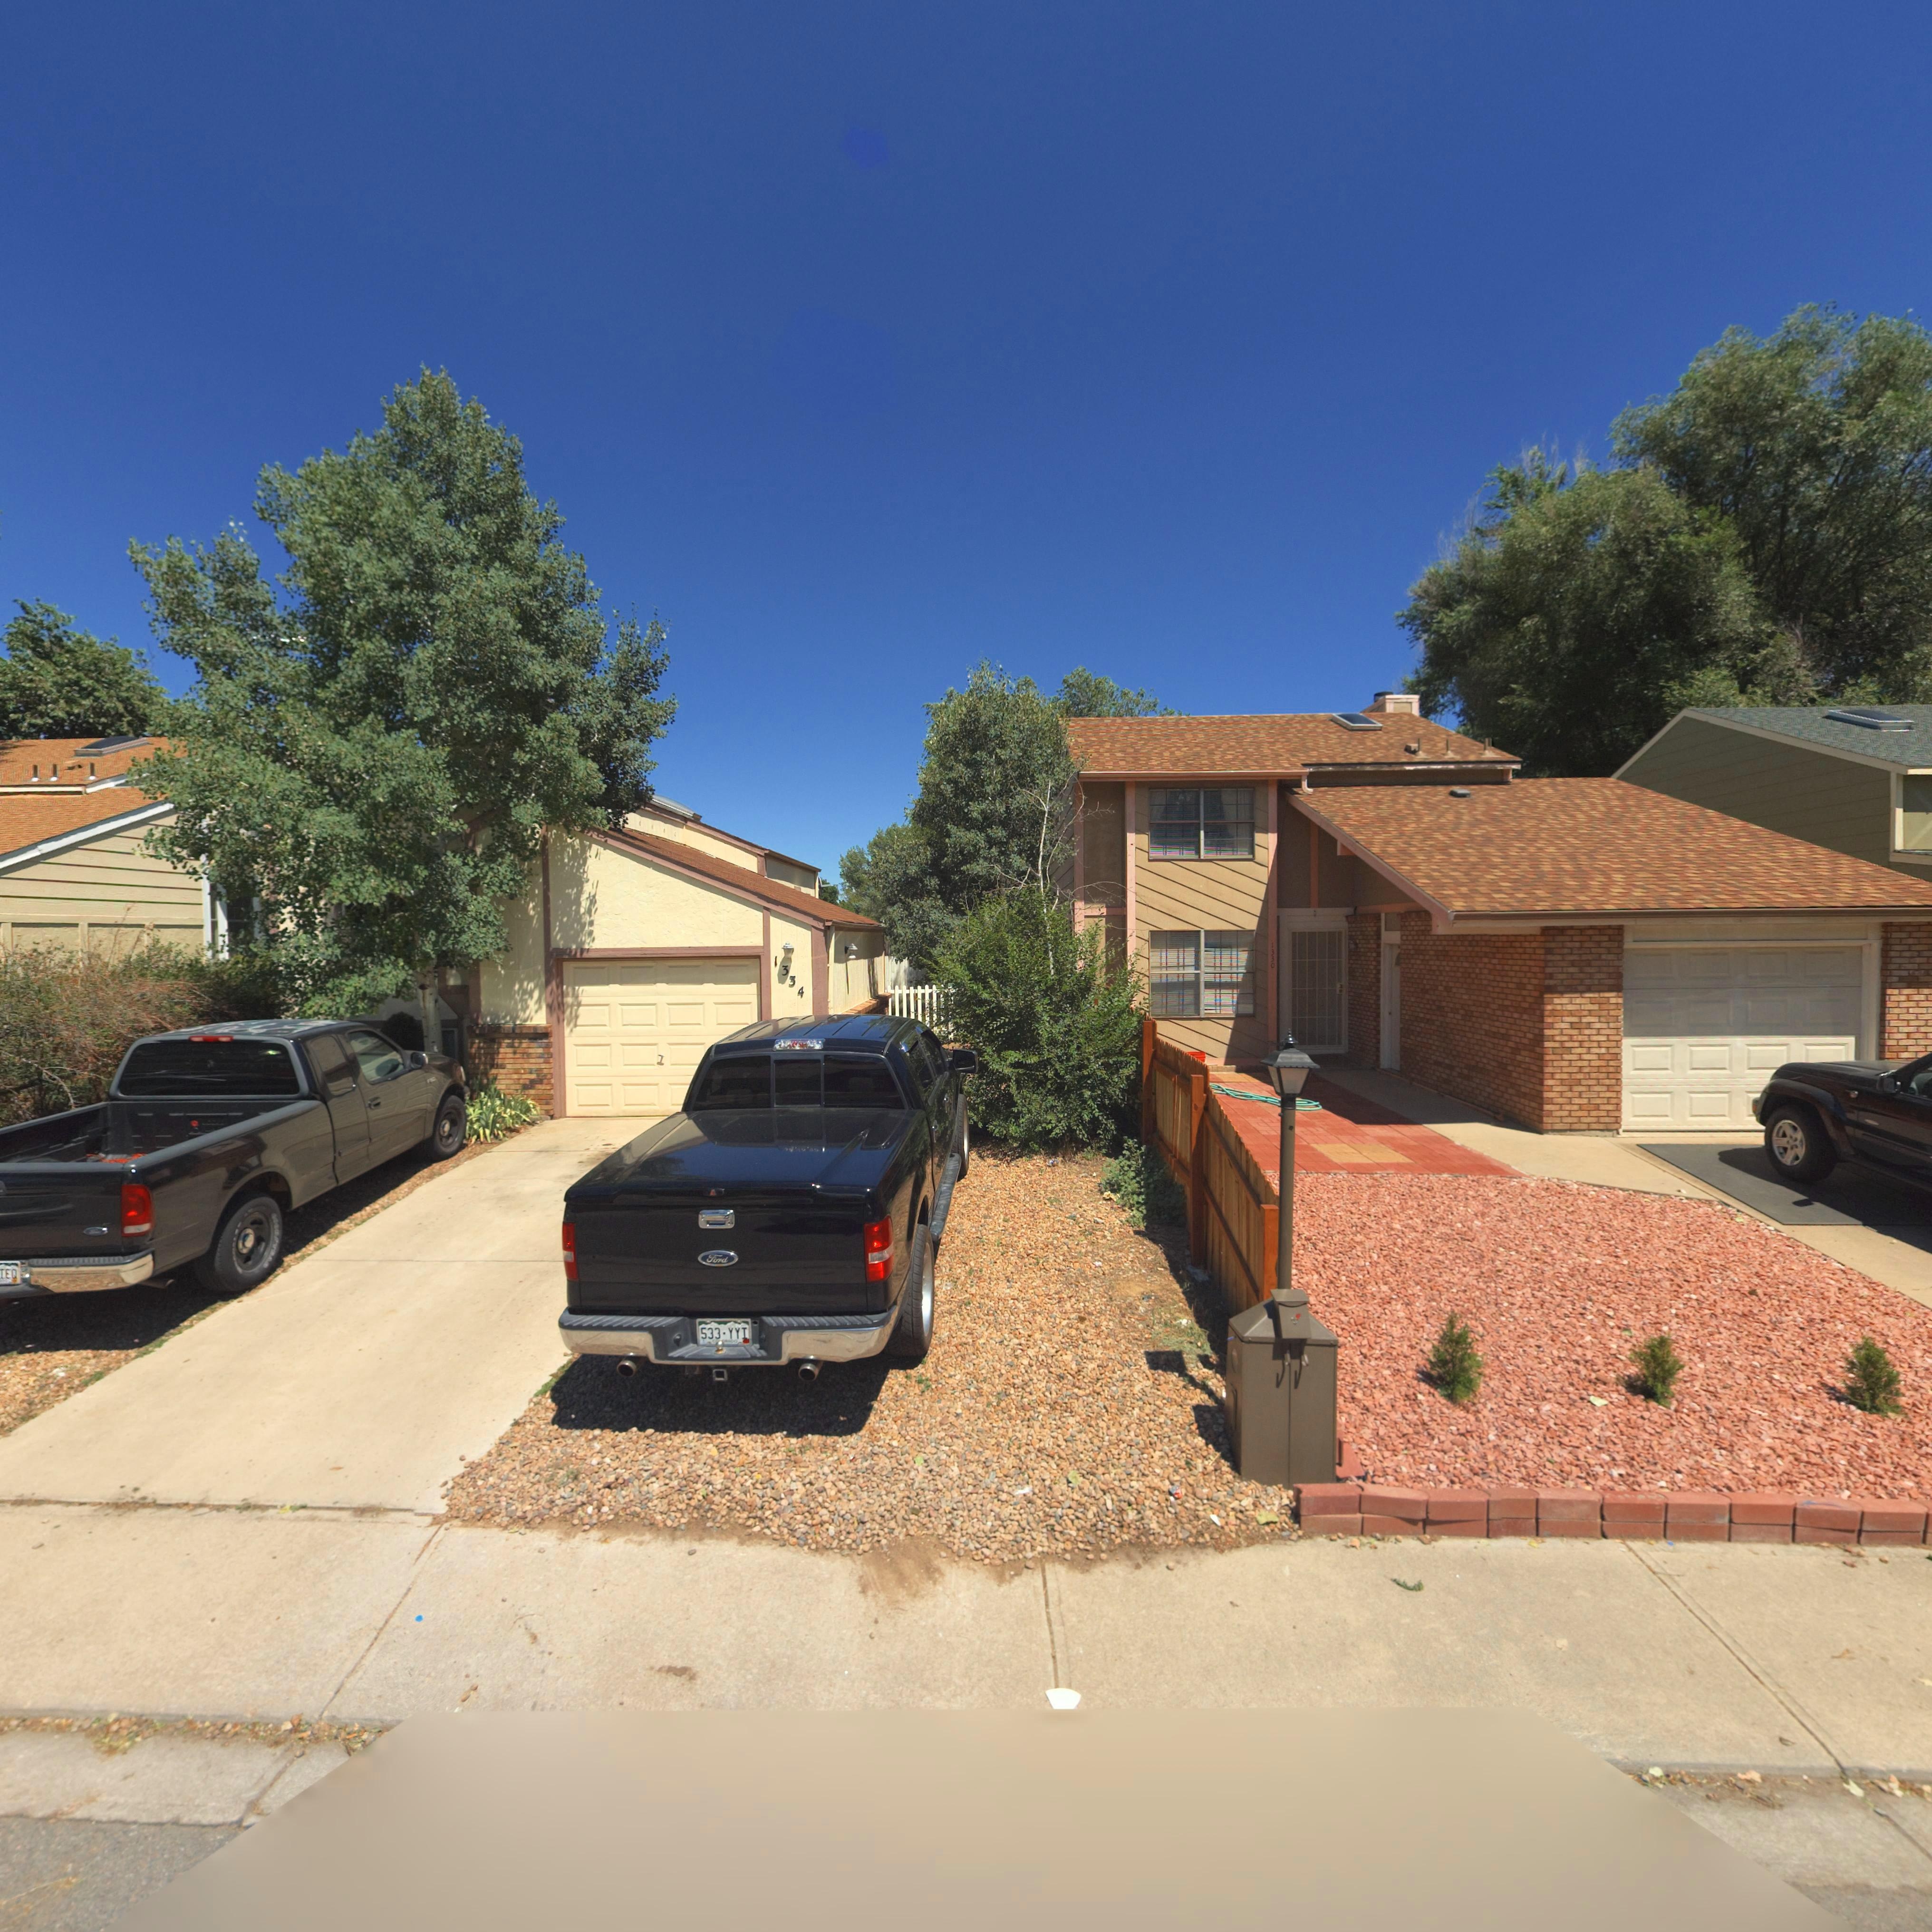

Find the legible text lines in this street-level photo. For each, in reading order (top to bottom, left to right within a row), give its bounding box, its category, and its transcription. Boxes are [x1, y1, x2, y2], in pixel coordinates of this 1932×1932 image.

[773, 955, 805, 998] StreetNumber: 1334
[1270, 942, 1275, 968] StreetNumber: 1330